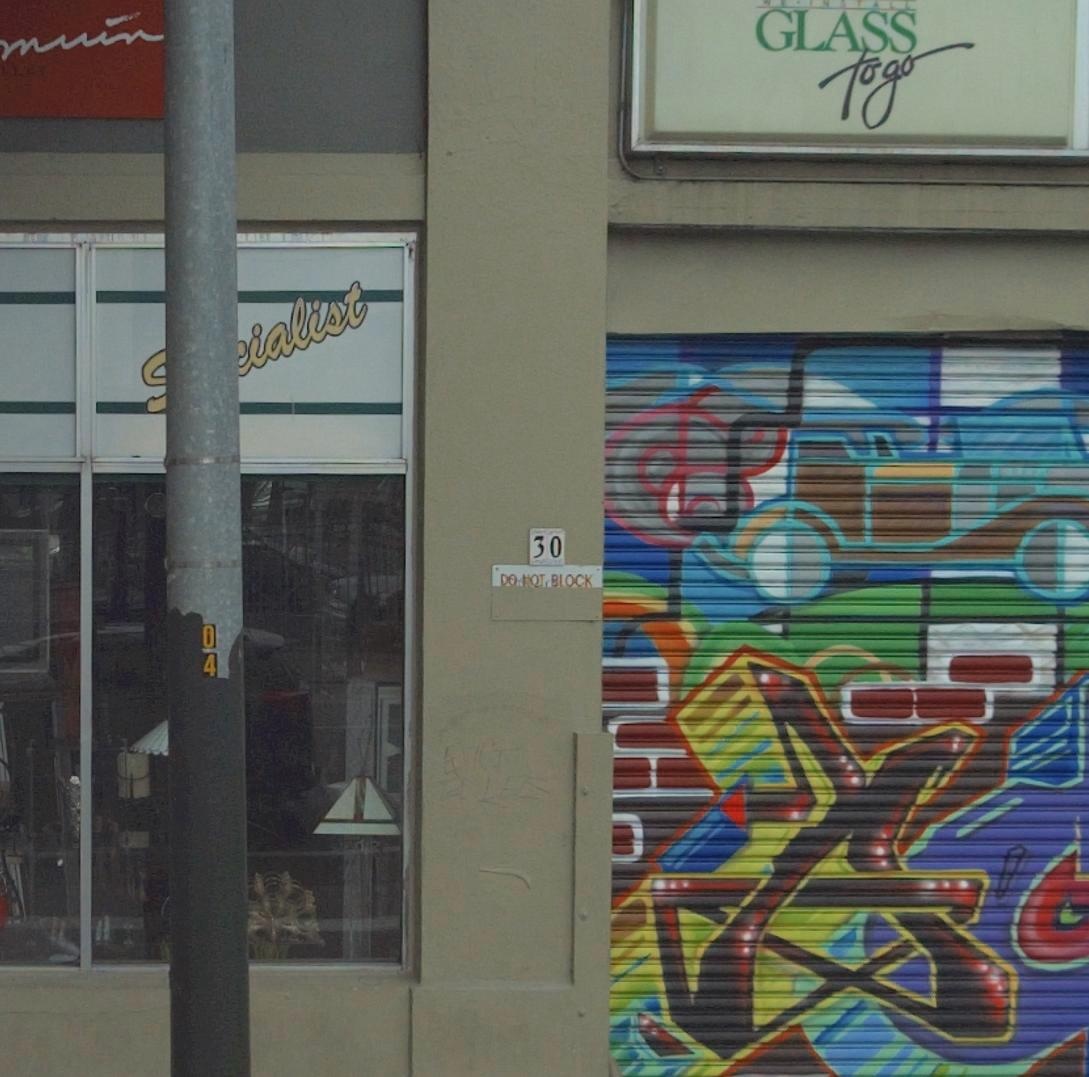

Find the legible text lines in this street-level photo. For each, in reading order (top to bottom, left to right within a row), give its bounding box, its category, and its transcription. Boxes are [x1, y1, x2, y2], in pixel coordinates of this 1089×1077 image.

[751, 3, 921, 57] None: GLASS
[813, 39, 979, 134] None: to go
[244, 273, 374, 373] None: ialist
[531, 533, 564, 561] StreetNumber: 30
[498, 571, 595, 590] None: DO NOT BLOCK
[200, 622, 218, 679] None: 04